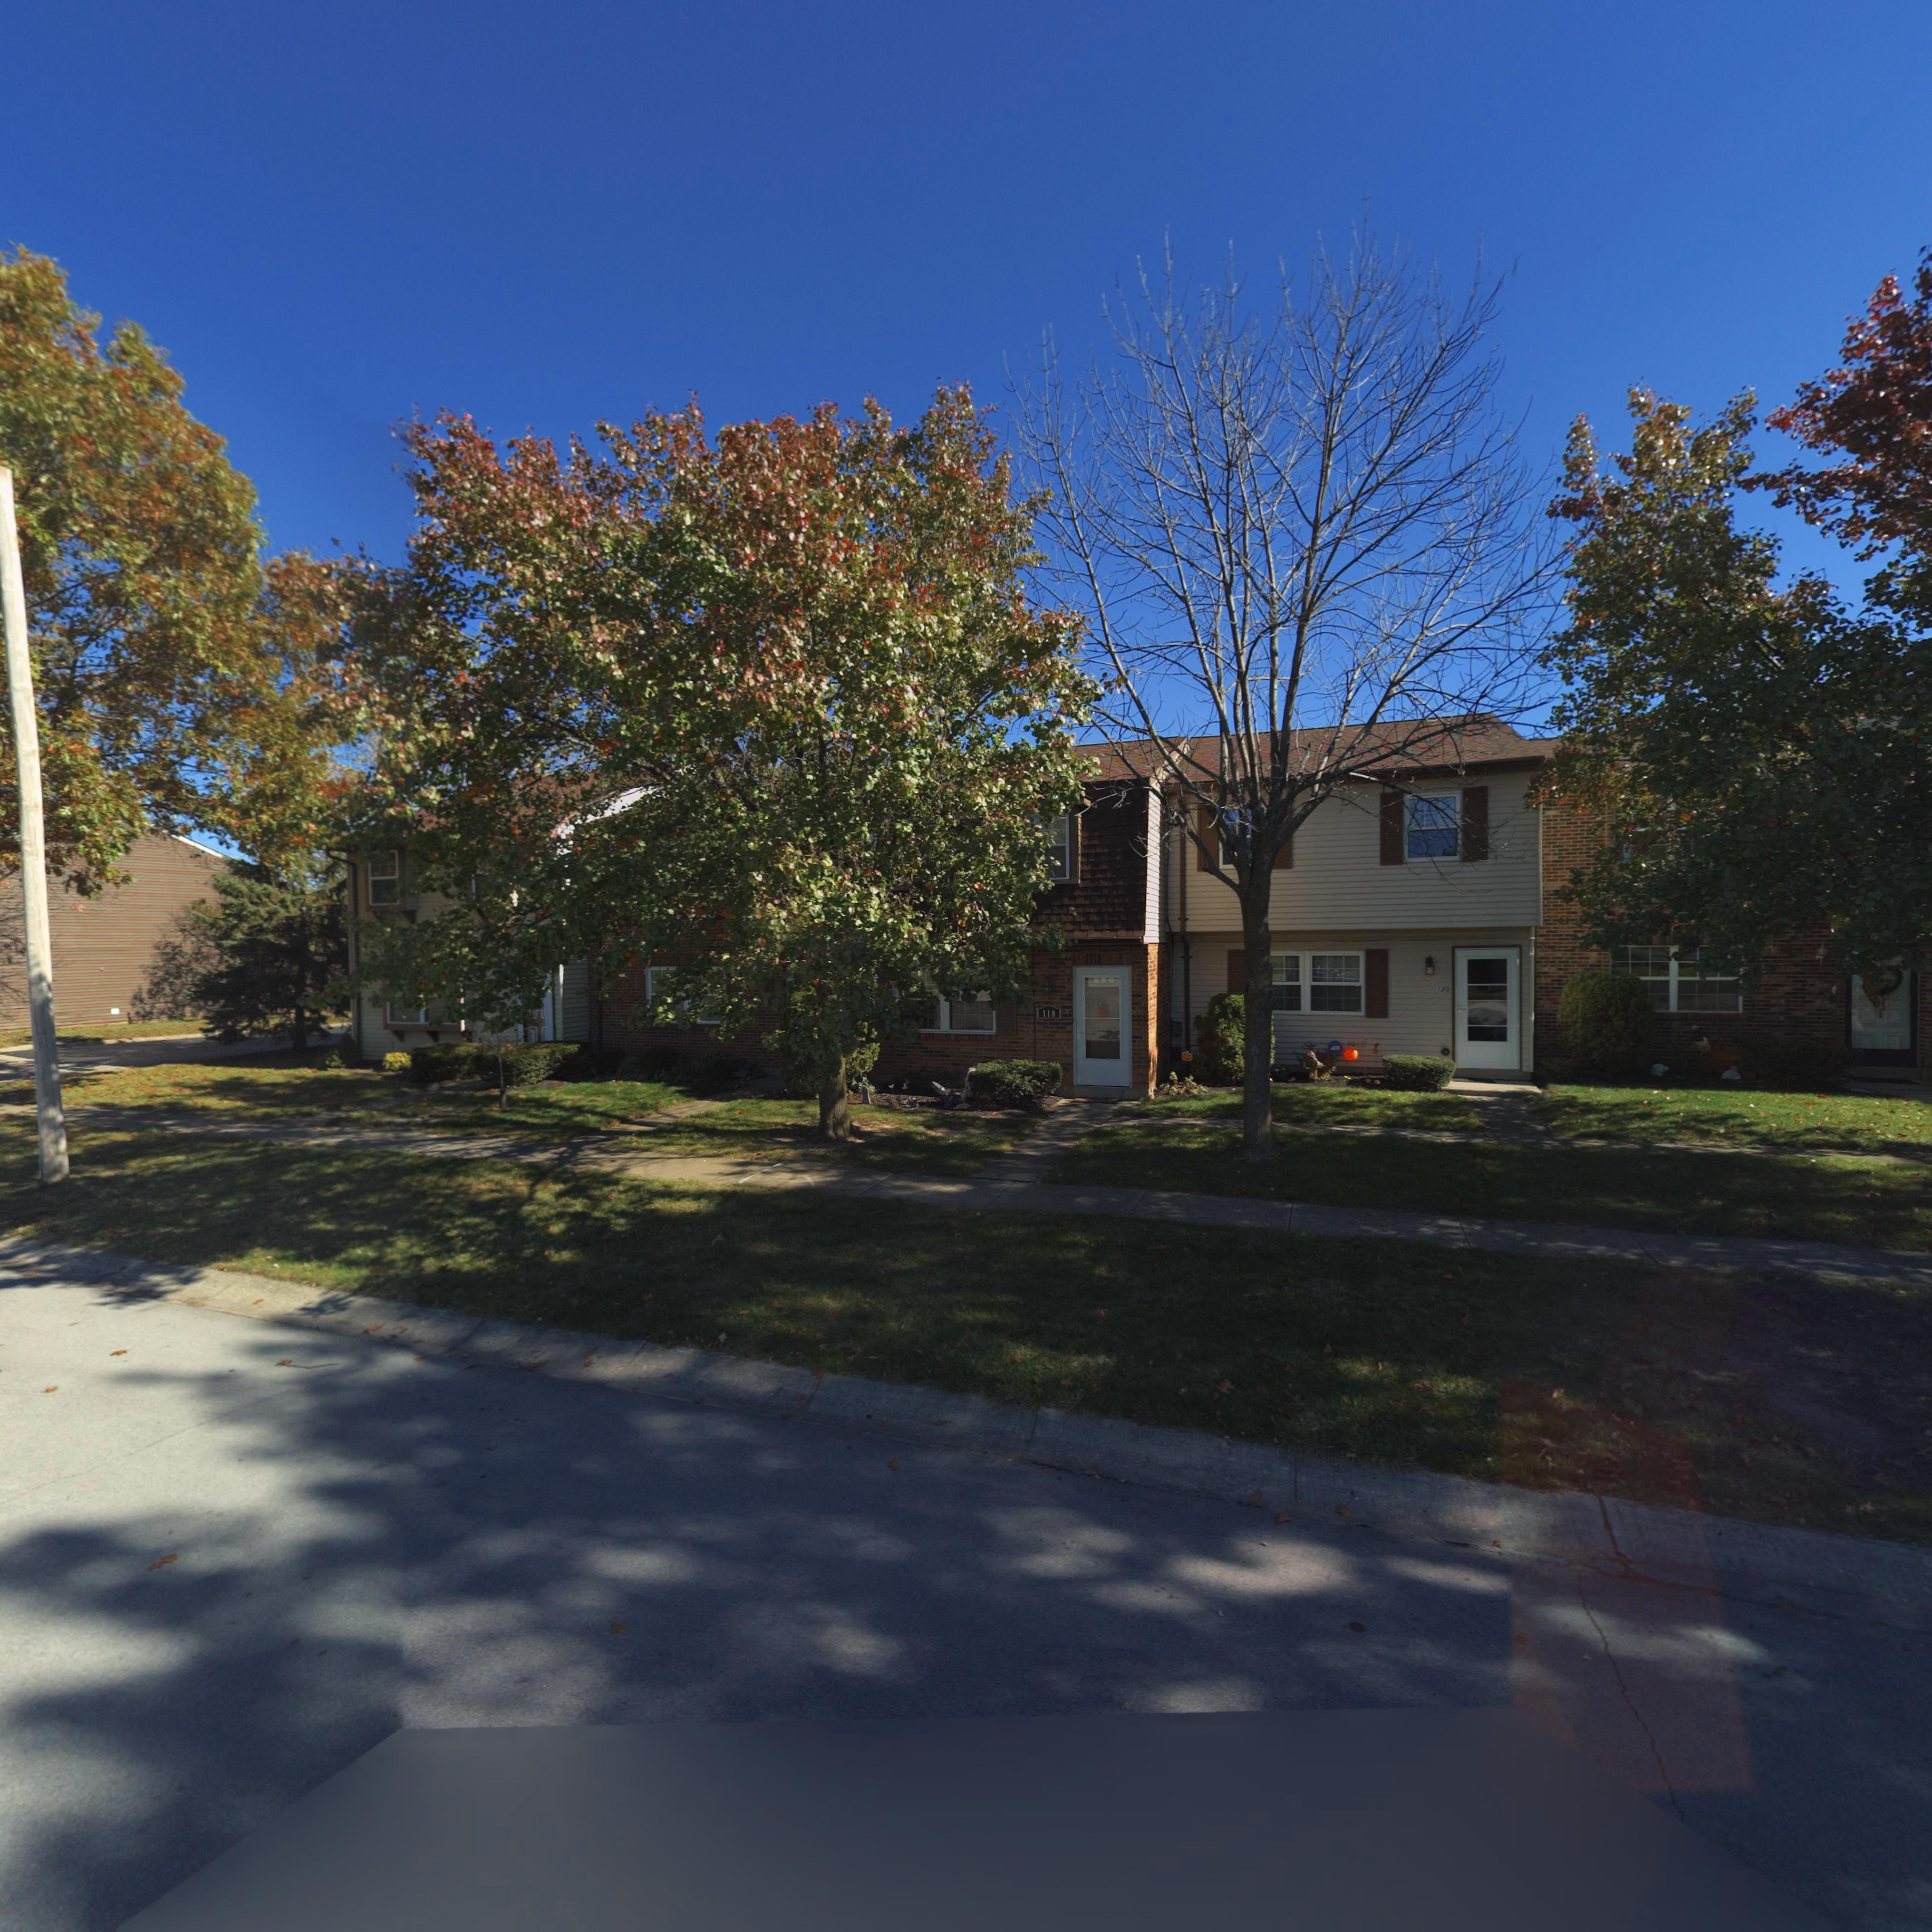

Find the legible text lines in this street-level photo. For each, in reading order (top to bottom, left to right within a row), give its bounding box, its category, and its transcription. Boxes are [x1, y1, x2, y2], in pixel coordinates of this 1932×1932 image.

[1436, 986, 1451, 993] StreetNumber: 120
[1042, 1009, 1056, 1018] StreetNumber: 118